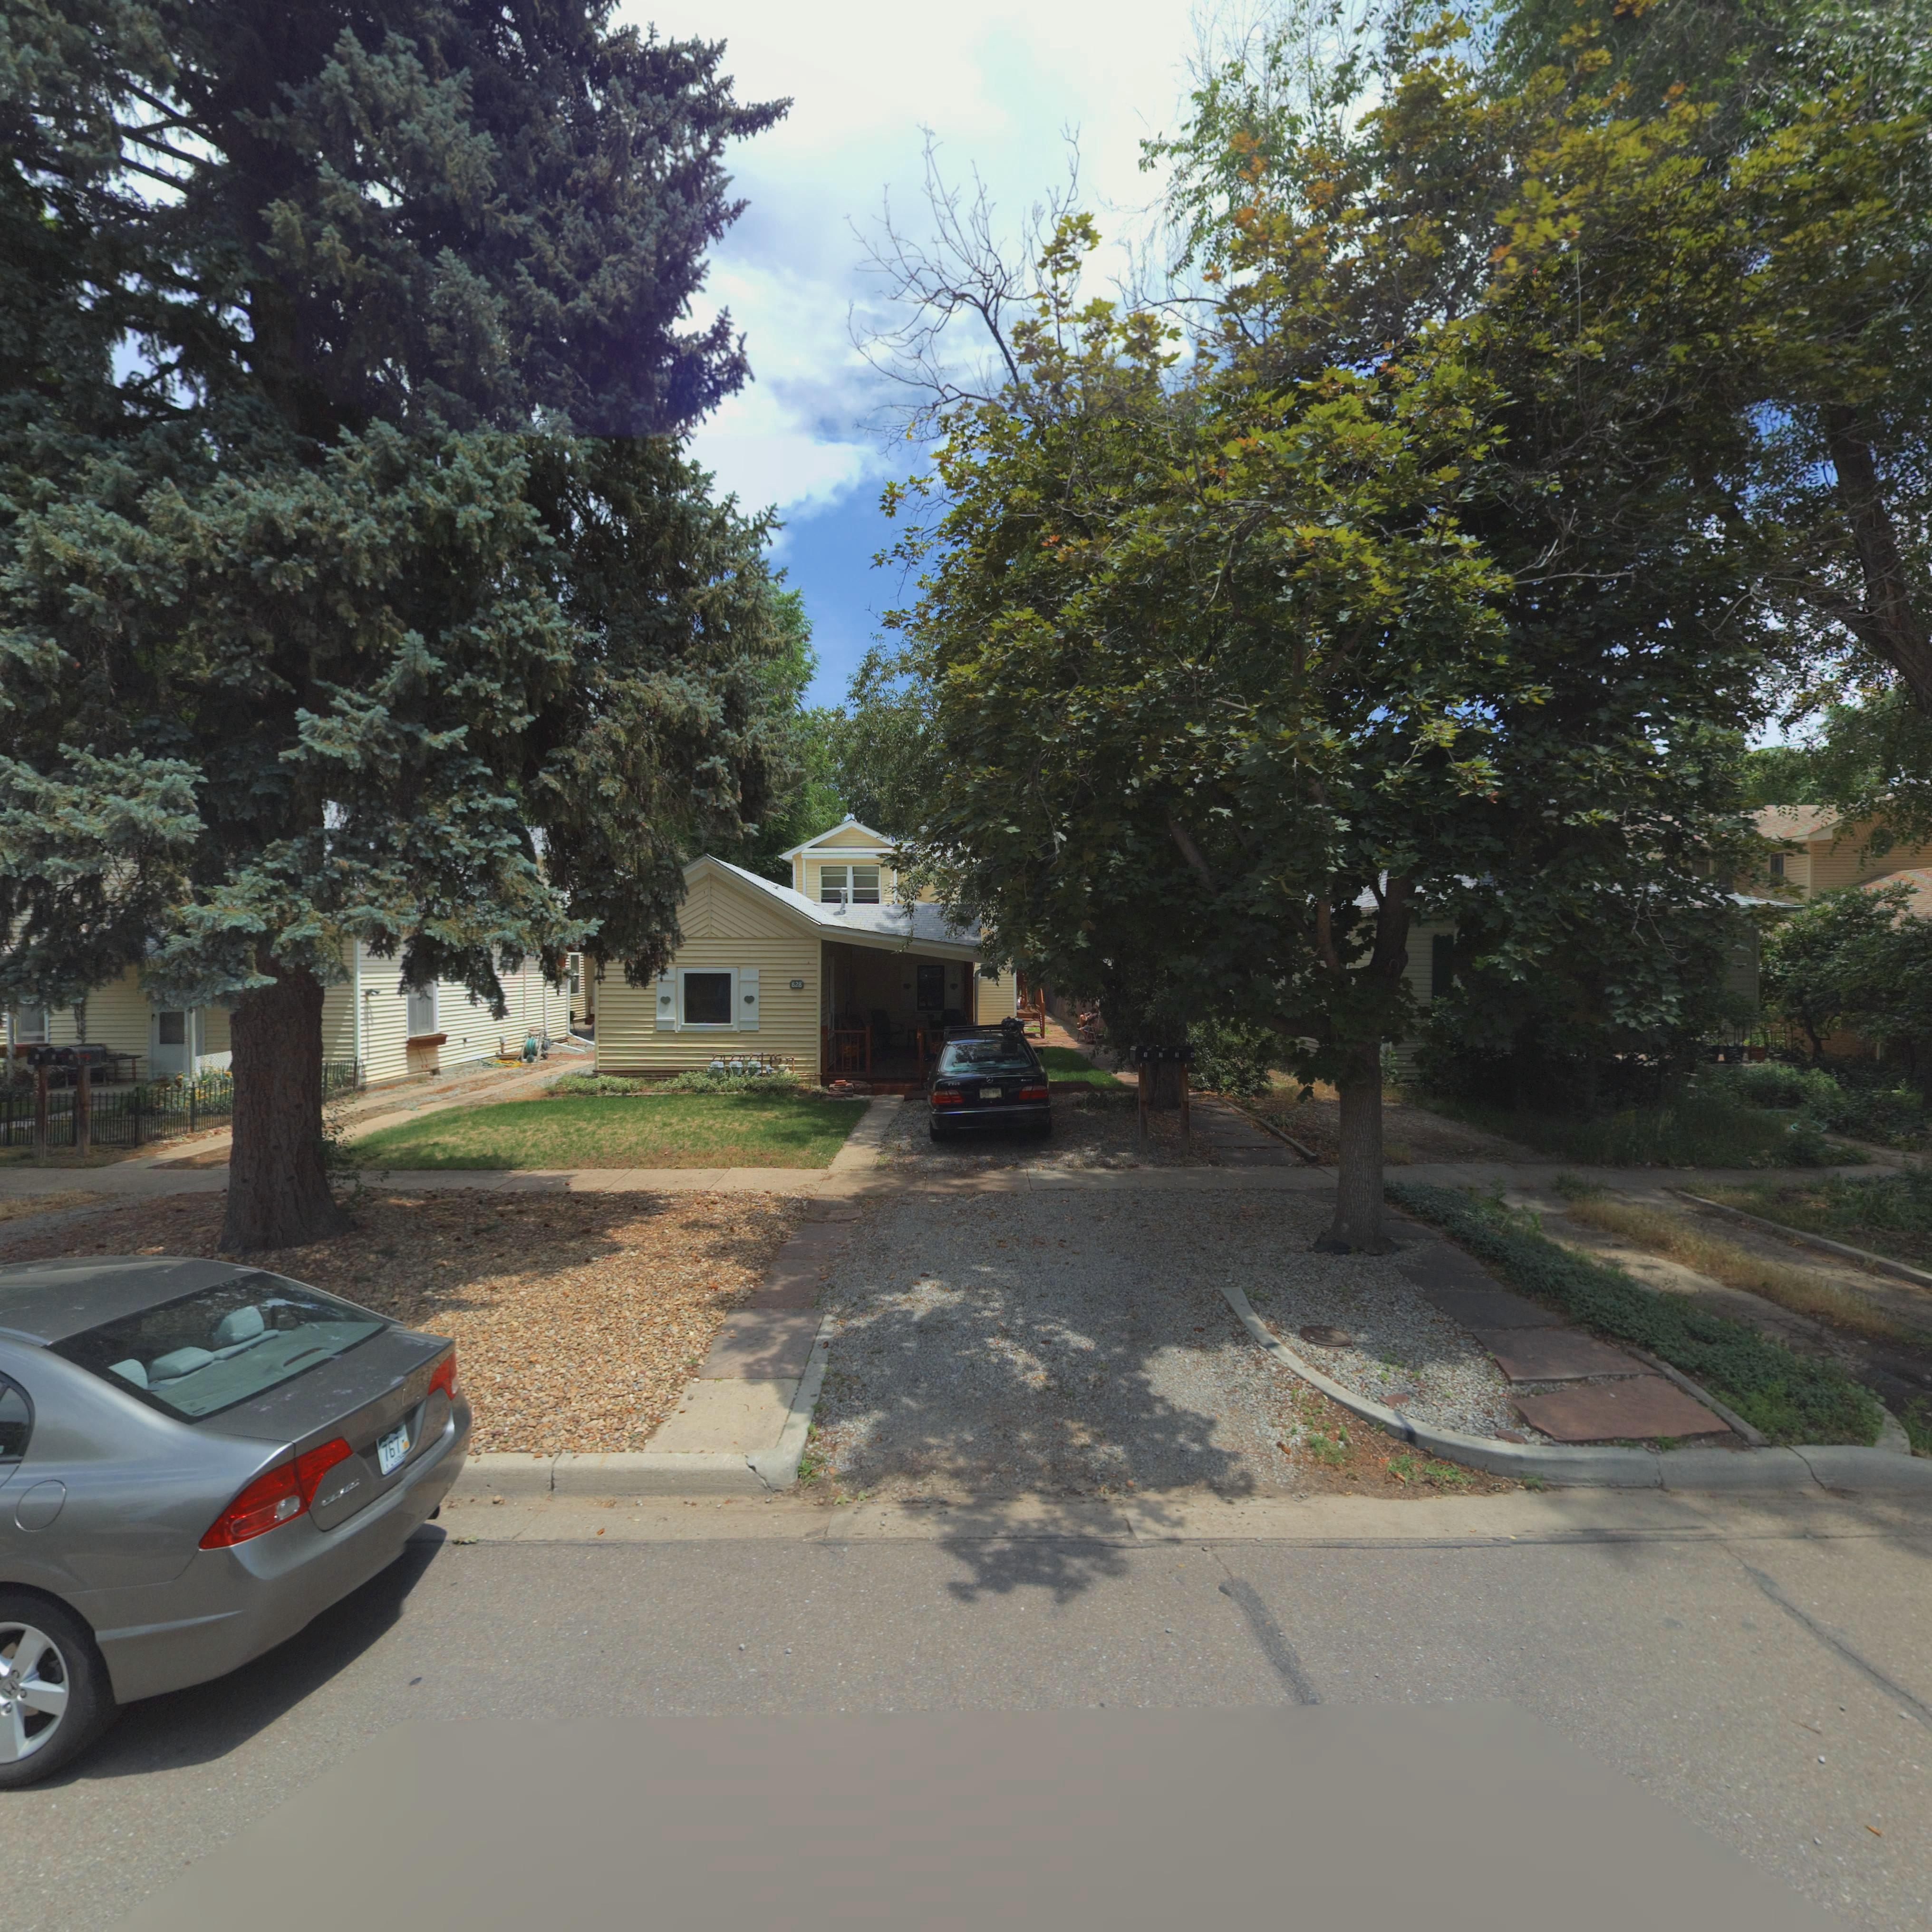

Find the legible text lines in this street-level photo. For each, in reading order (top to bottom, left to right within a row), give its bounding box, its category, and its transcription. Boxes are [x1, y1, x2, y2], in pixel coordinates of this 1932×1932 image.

[791, 981, 802, 988] StreetNumber: 828